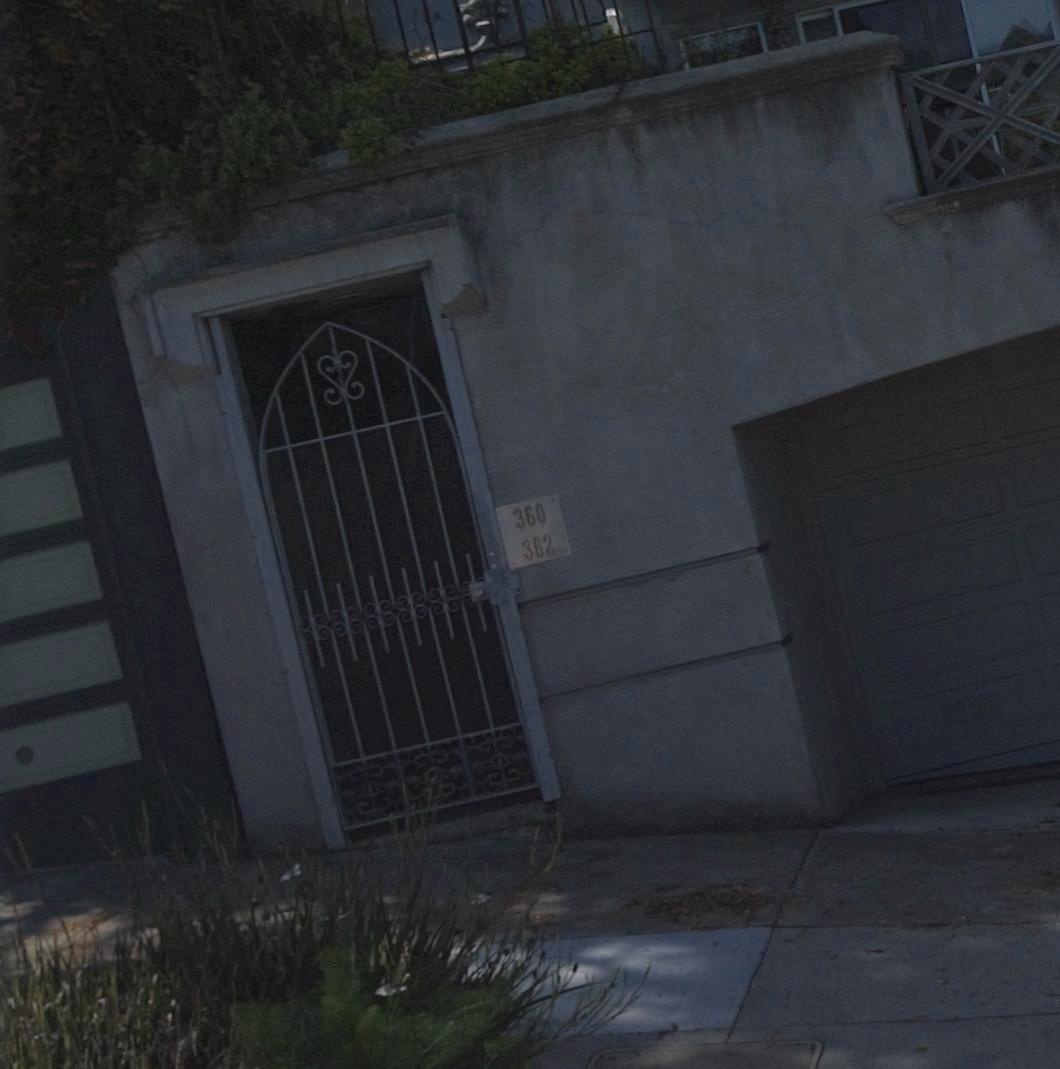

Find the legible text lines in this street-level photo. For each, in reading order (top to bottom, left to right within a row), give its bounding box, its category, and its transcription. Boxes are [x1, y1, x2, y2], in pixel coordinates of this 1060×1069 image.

[510, 500, 548, 532] StreetNumber: 360
[519, 532, 558, 563] StreetNumber: 362